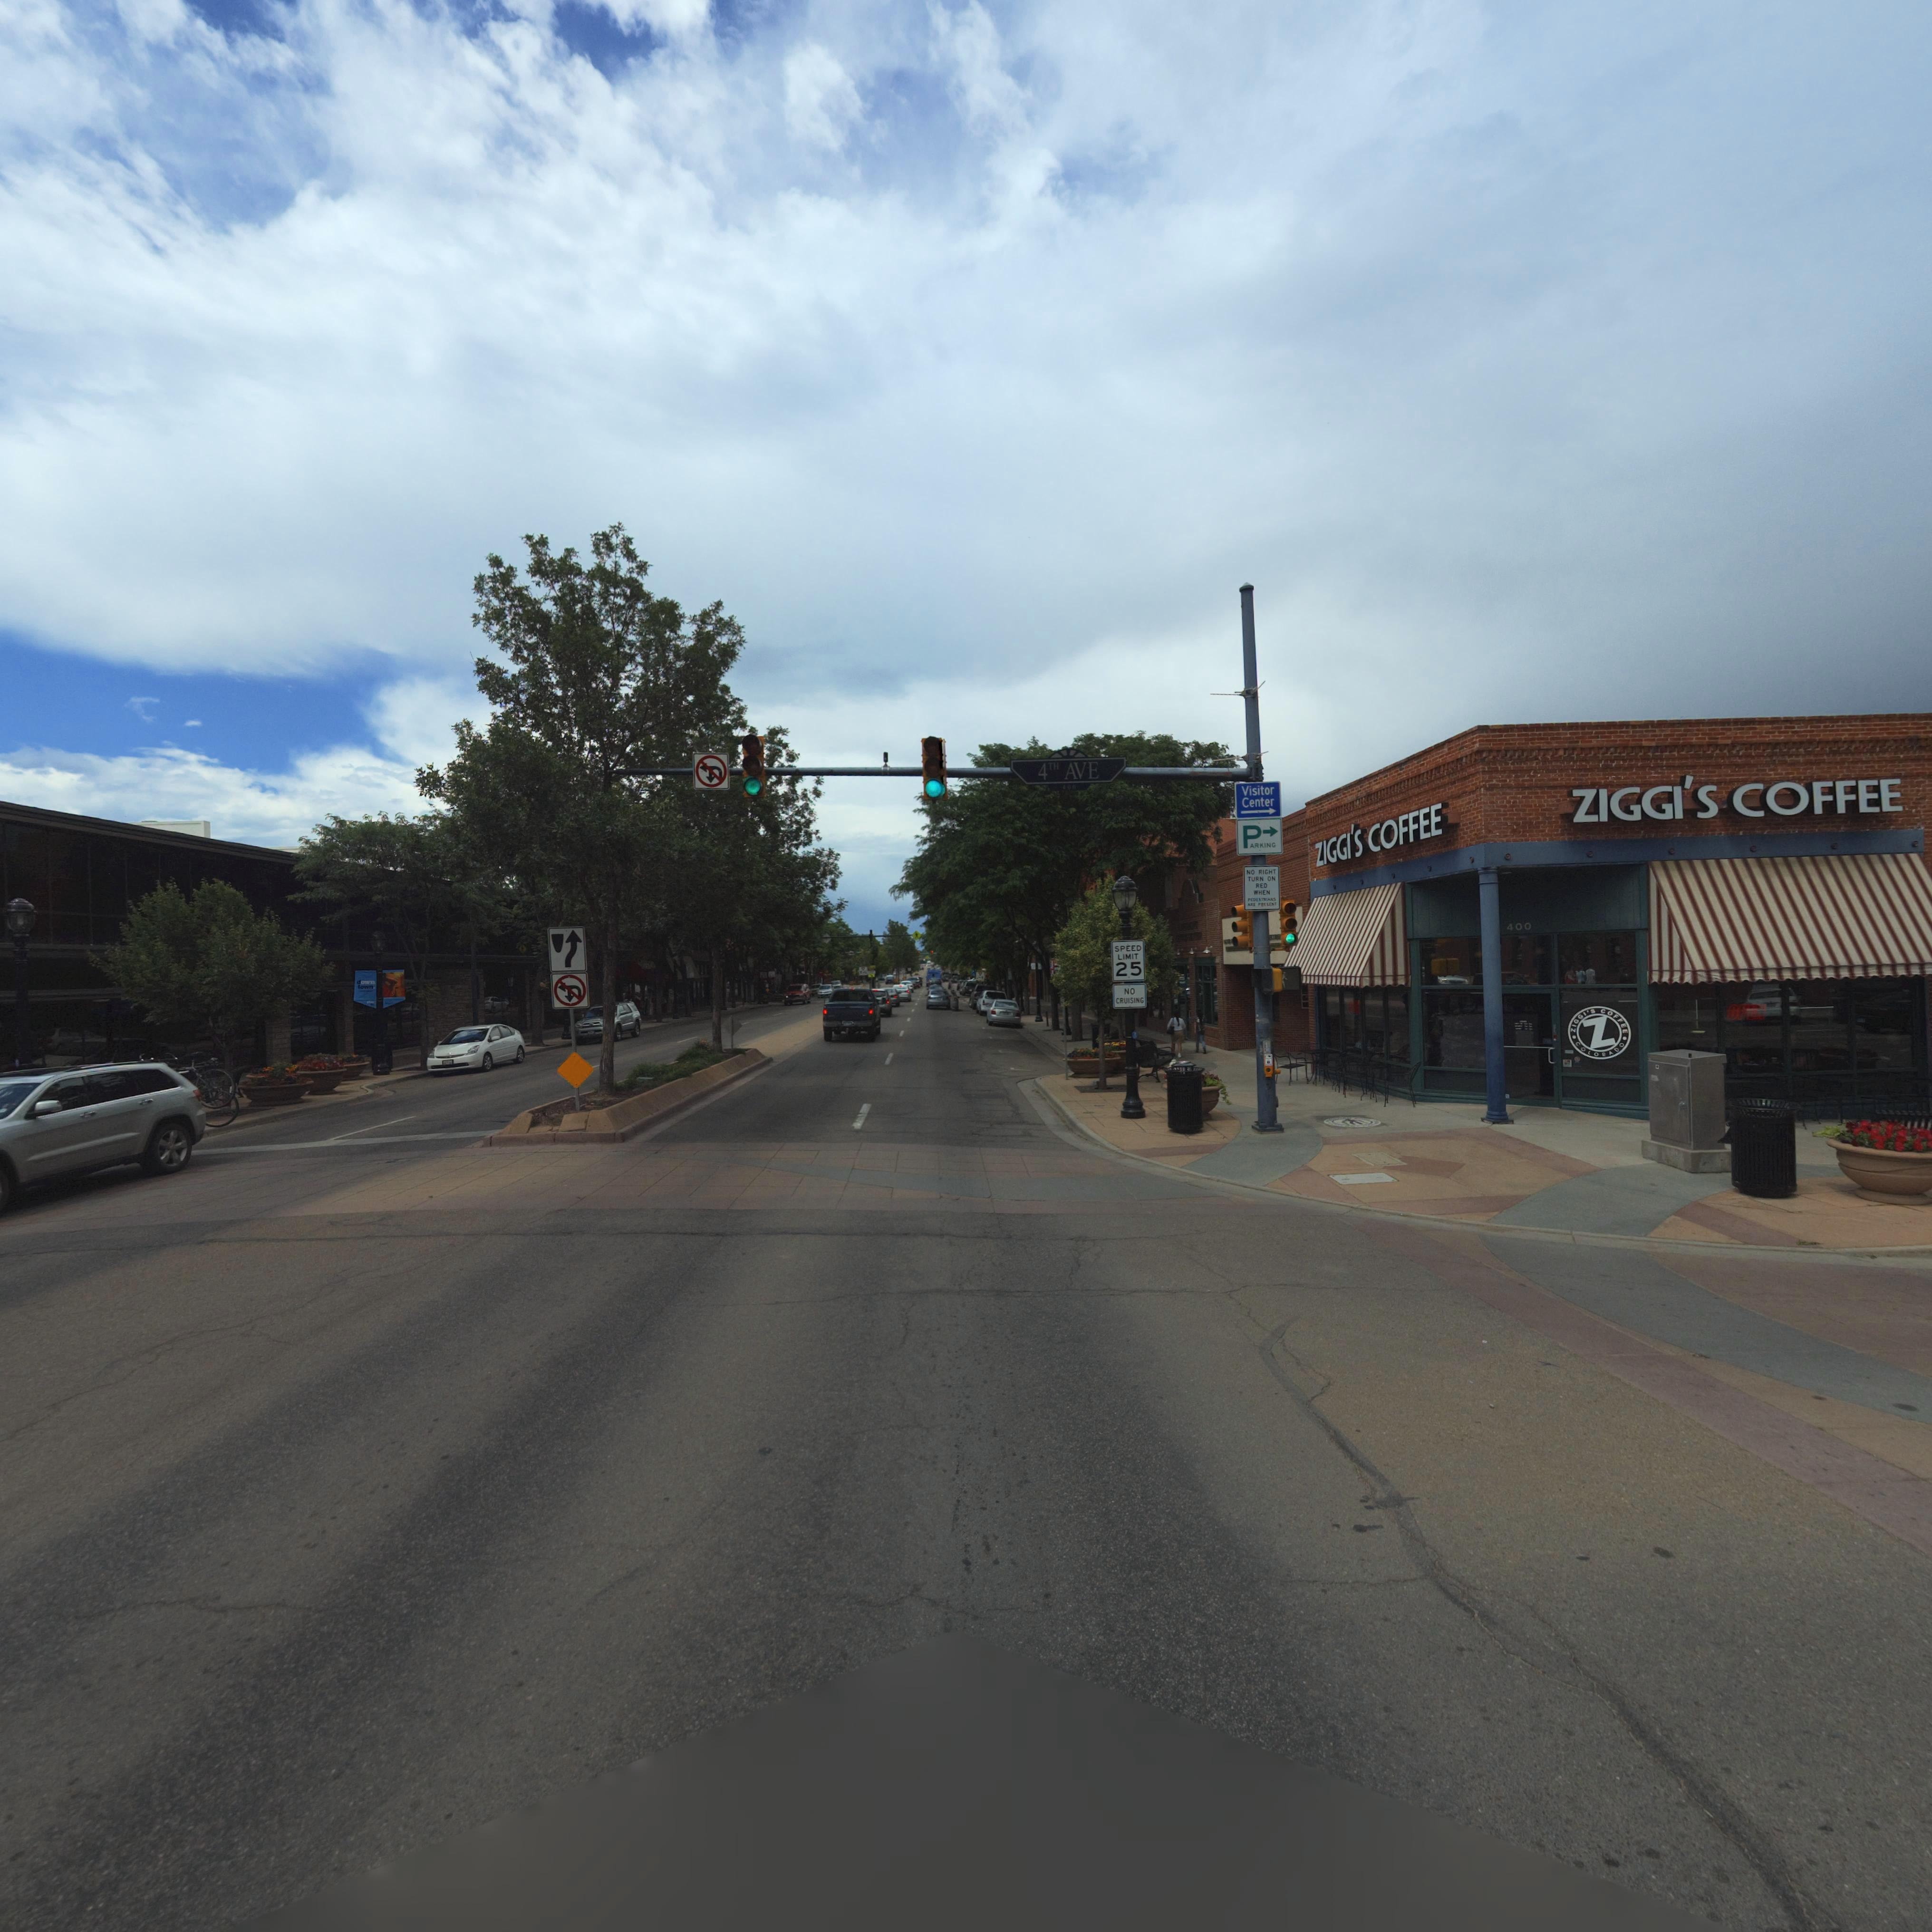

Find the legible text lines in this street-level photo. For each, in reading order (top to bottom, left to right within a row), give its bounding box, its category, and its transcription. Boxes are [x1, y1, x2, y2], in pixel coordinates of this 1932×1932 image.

[1037, 761, 1100, 780] StreetName: 4TH AVE
[1571, 772, 1904, 824] BusinessName: ZIGGI'S COFFEE
[1314, 802, 1443, 867] BusinessName: ZIGGI'S COFFEE
[1506, 922, 1531, 931] StreetNumber: 400
[1570, 1008, 1628, 1034] BusinessName: ZIGGI'S COFFEE